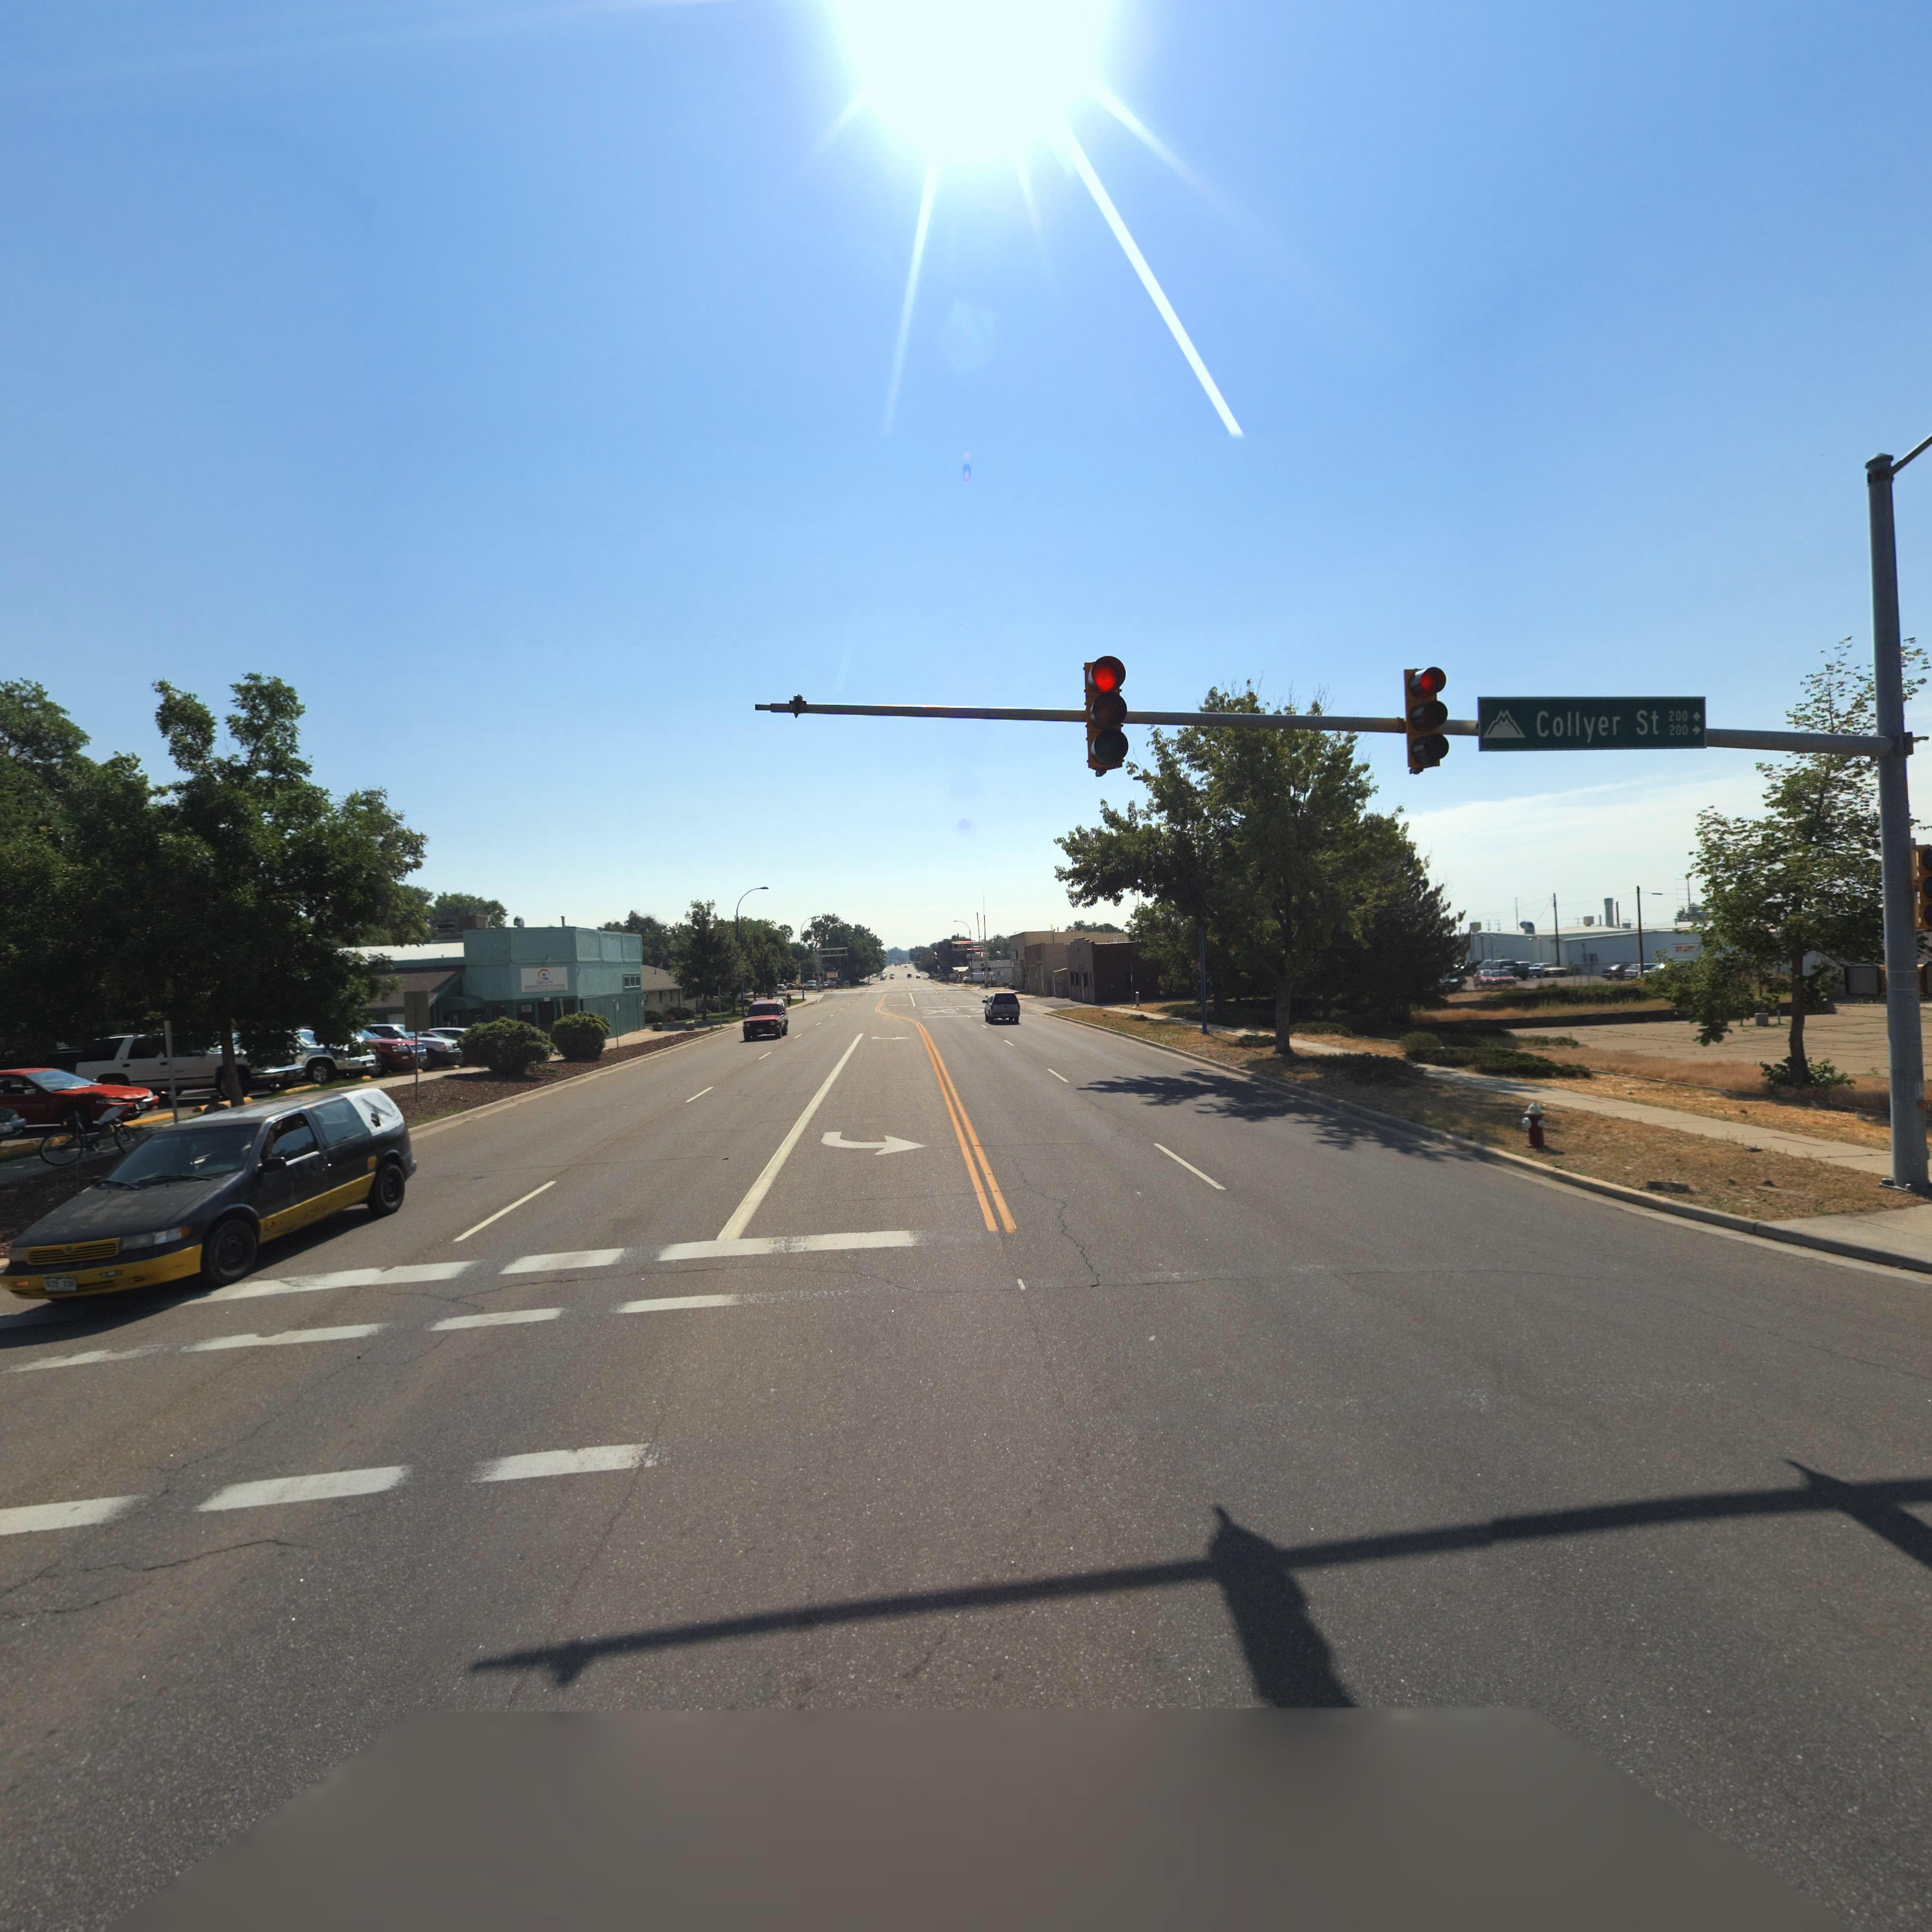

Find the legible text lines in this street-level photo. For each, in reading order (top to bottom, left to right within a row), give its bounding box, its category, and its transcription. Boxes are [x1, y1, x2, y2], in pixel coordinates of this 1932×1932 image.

[1667, 710, 1690, 722] StreetNumberRange: 200
[1536, 708, 1661, 744] StreetName: Collyer St
[1668, 724, 1702, 736] StreetNumberRange: 200->
[535, 979, 554, 984] BusinessName: O** *******